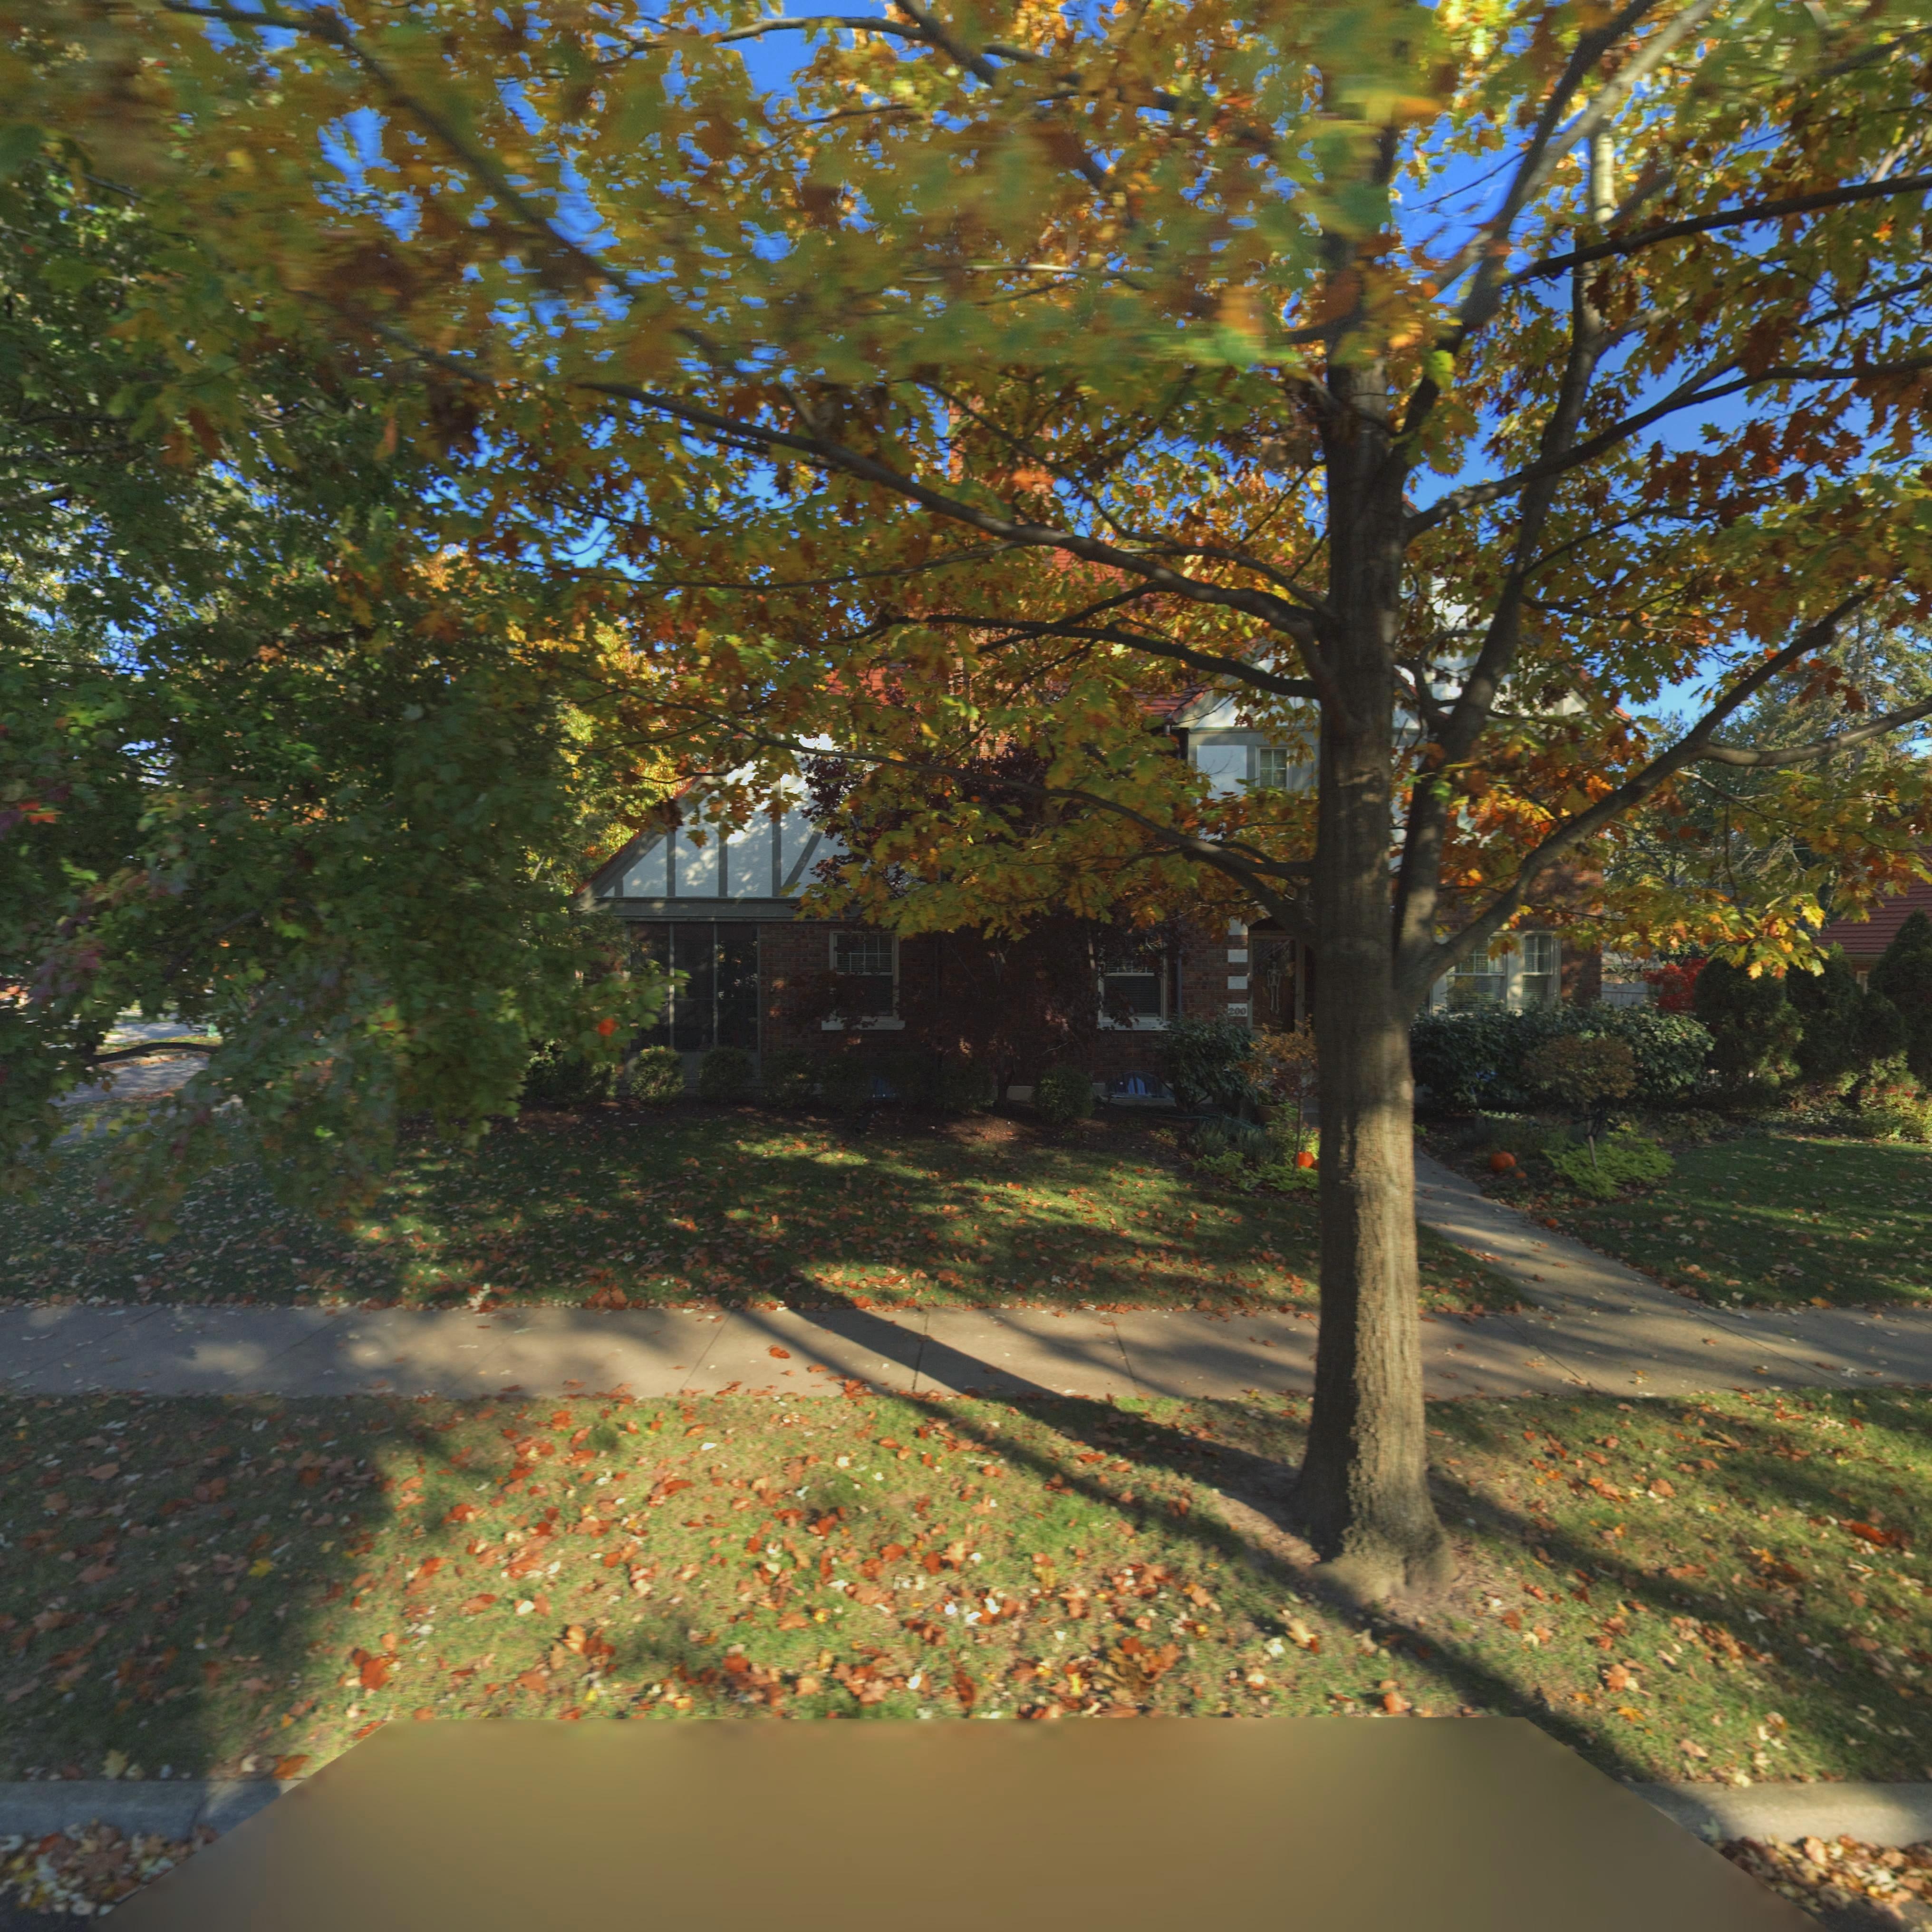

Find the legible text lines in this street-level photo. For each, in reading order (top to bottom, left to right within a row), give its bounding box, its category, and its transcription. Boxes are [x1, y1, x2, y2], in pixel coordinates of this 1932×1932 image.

[1227, 1006, 1246, 1015] StreetNumber: 200